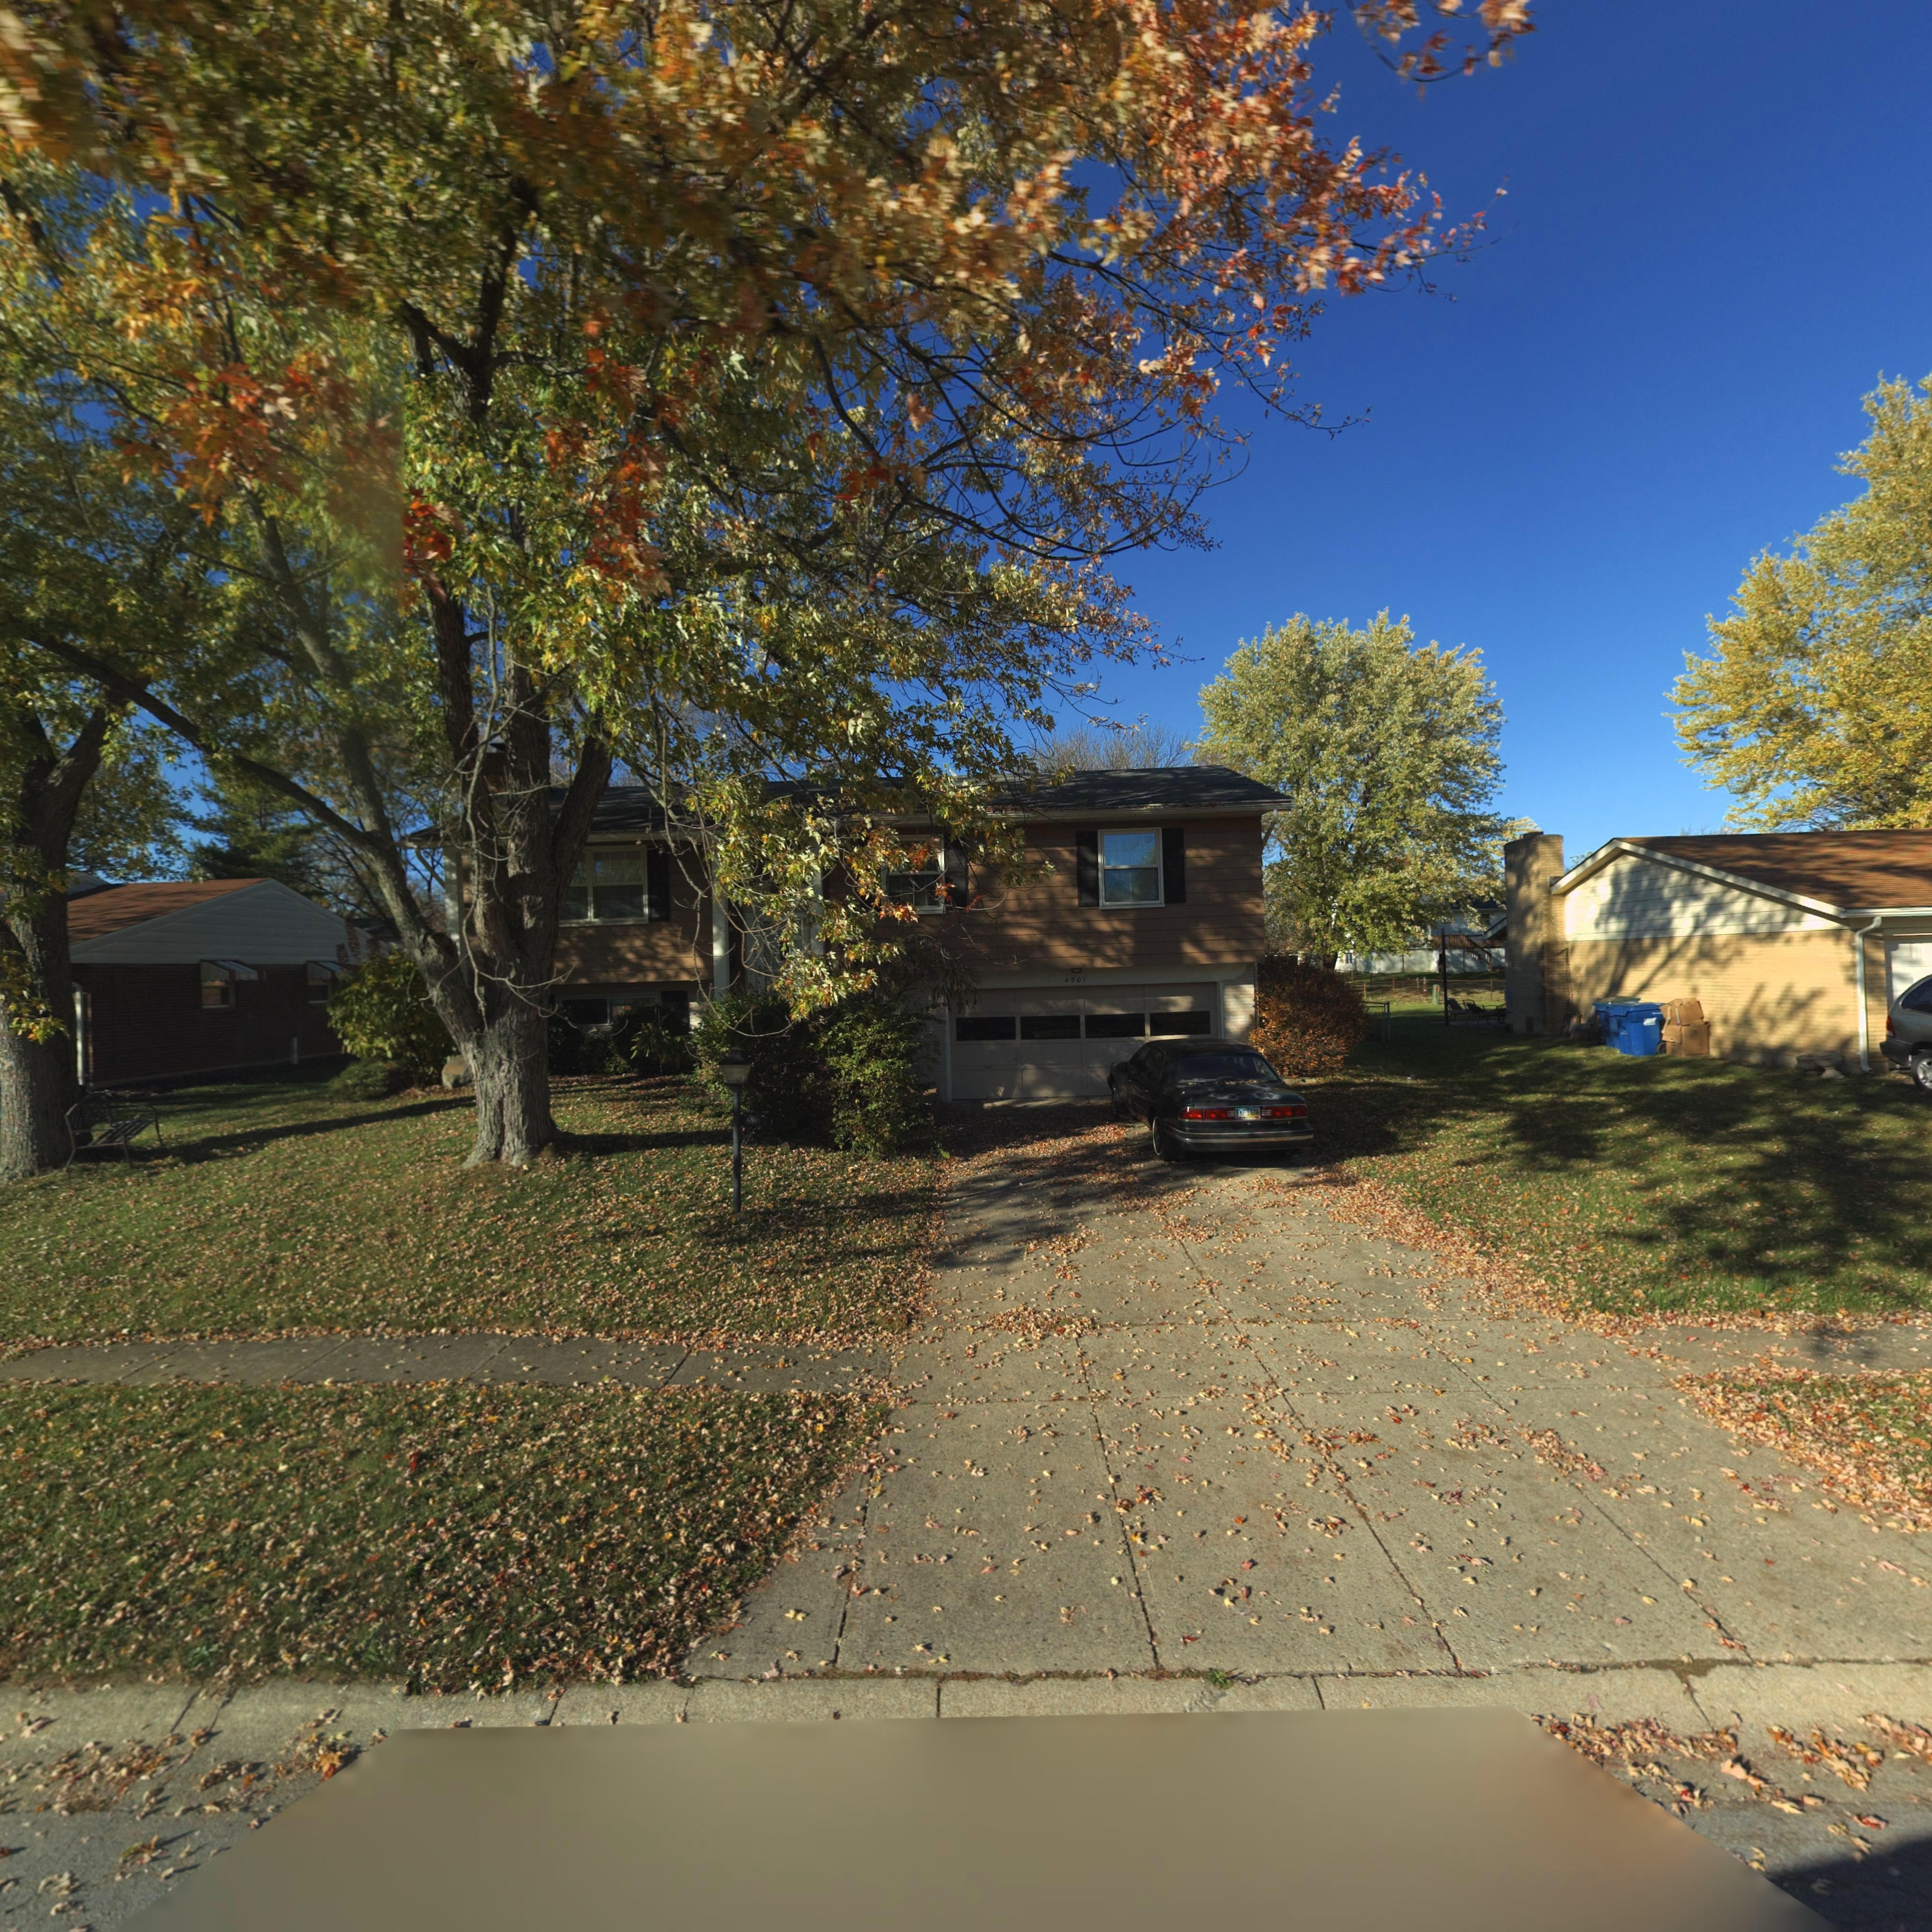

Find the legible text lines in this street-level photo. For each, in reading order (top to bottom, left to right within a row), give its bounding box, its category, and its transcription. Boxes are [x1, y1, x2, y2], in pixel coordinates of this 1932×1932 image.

[1064, 976, 1086, 983] StreetNumber: 4901